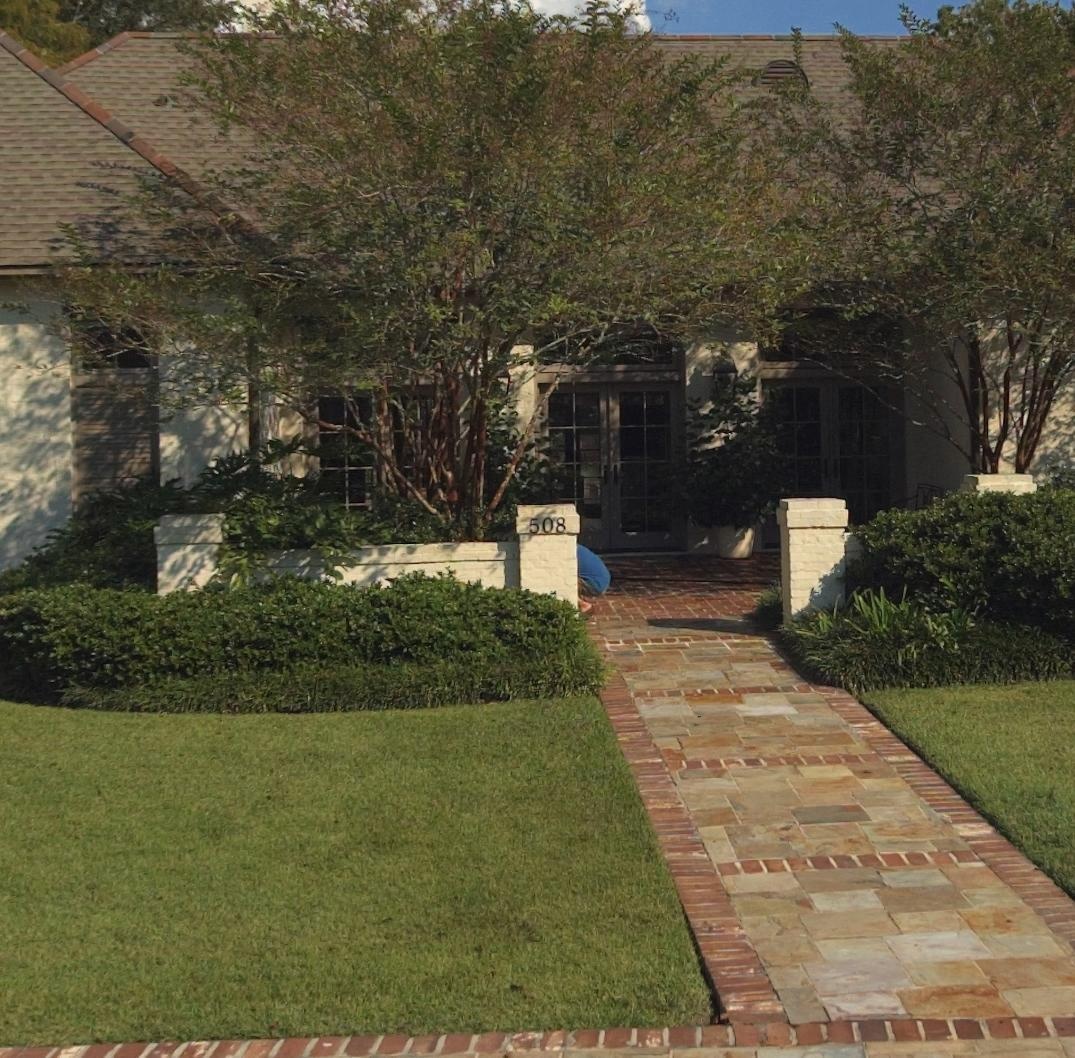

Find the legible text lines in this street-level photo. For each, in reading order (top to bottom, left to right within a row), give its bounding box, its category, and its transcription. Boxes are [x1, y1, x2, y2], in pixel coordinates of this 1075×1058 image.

[529, 517, 566, 534] StreetNumber: 508